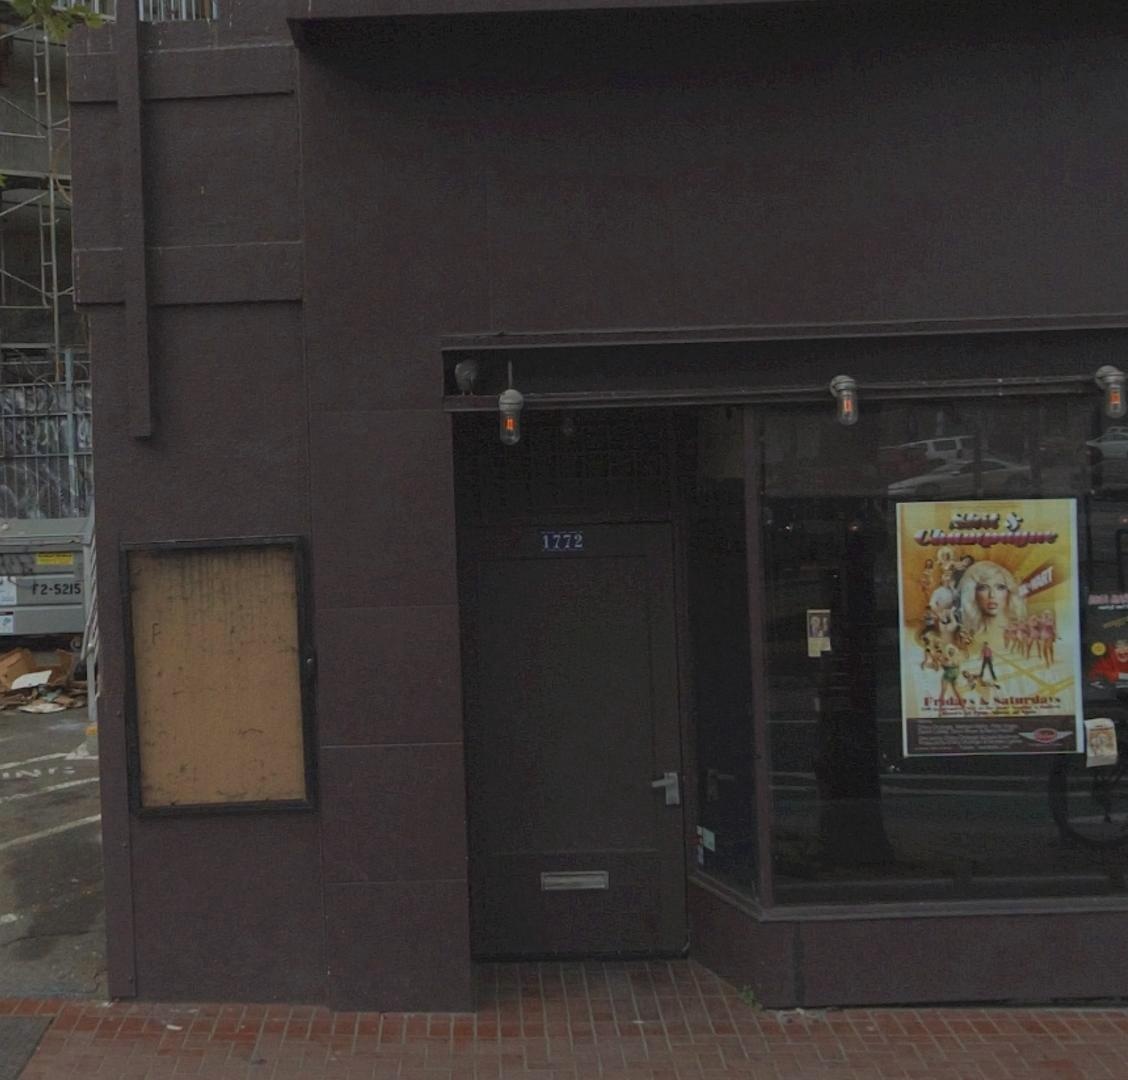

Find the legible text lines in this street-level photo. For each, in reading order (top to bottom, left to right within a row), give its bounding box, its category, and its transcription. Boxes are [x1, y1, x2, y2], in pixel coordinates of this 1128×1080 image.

[946, 509, 1026, 532] None: Skit &
[541, 531, 583, 551] StreetNumber: 1772
[910, 526, 1062, 550] None: Champugur
[31, 581, 81, 597] None: F2-5215
[923, 692, 1062, 708] None: Fridays & Saturdays